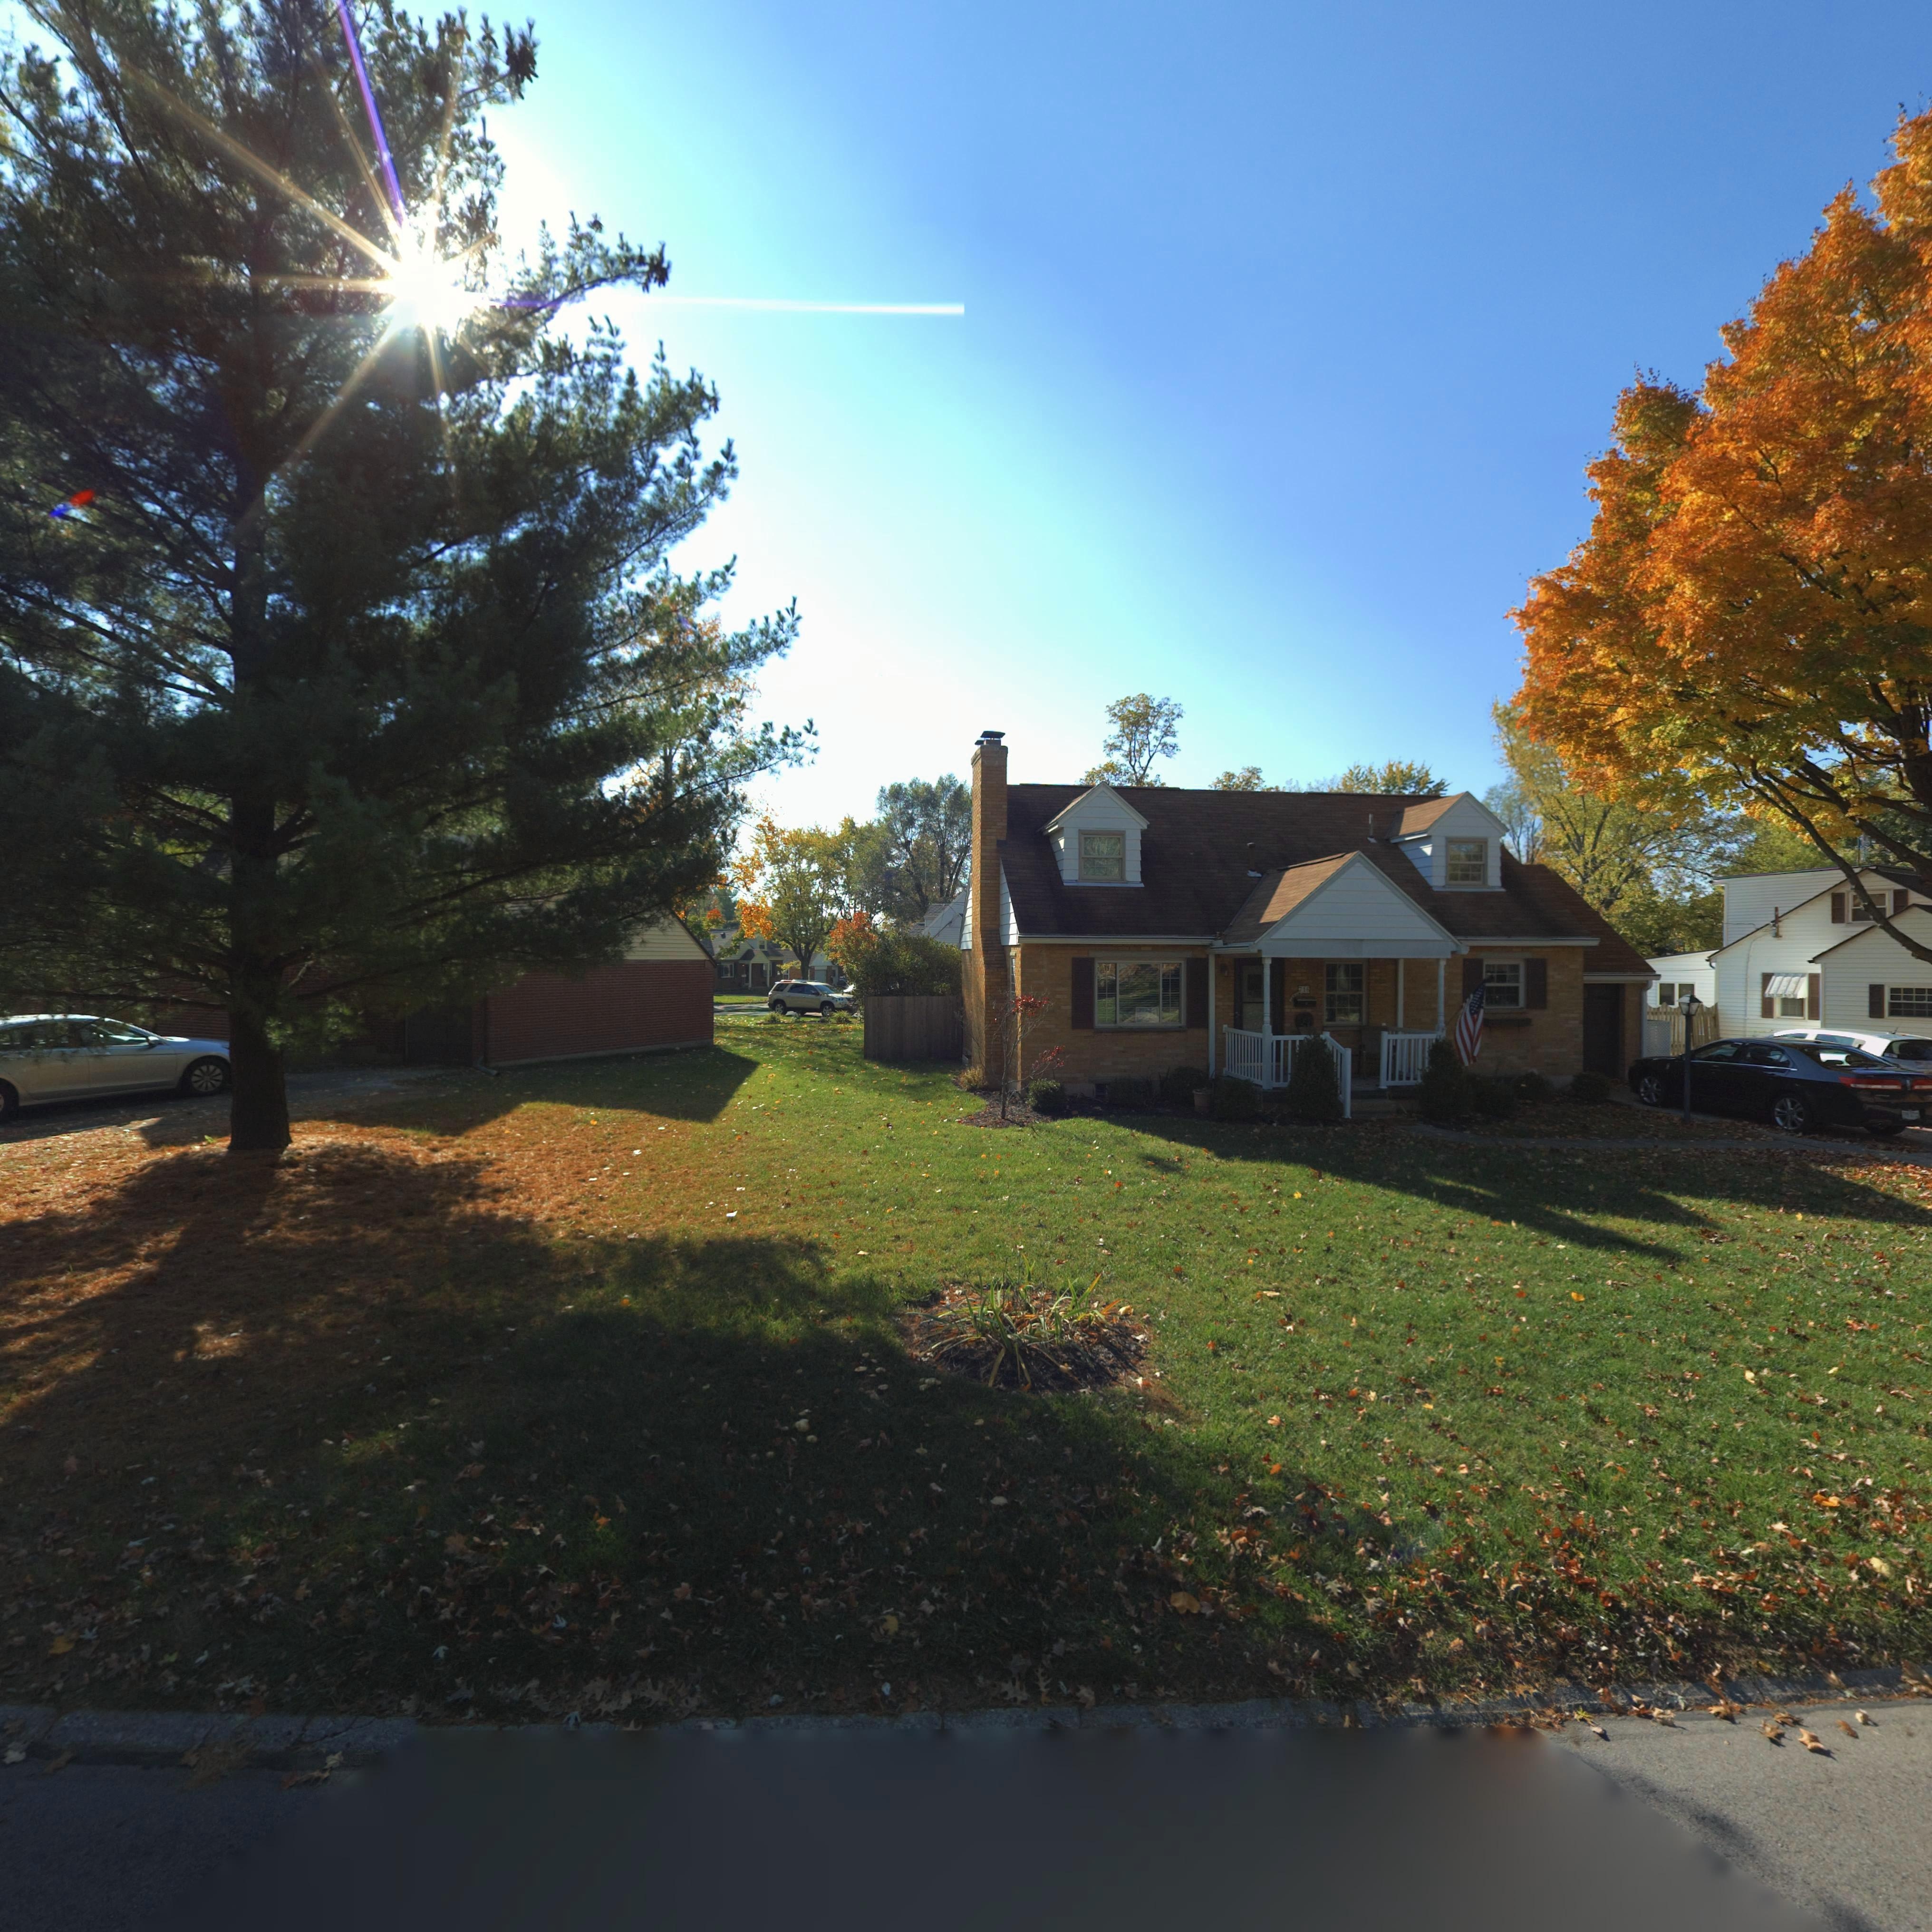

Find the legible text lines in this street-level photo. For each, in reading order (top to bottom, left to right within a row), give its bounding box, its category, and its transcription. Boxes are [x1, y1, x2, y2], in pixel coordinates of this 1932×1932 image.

[1298, 986, 1310, 993] StreetNumber: *16